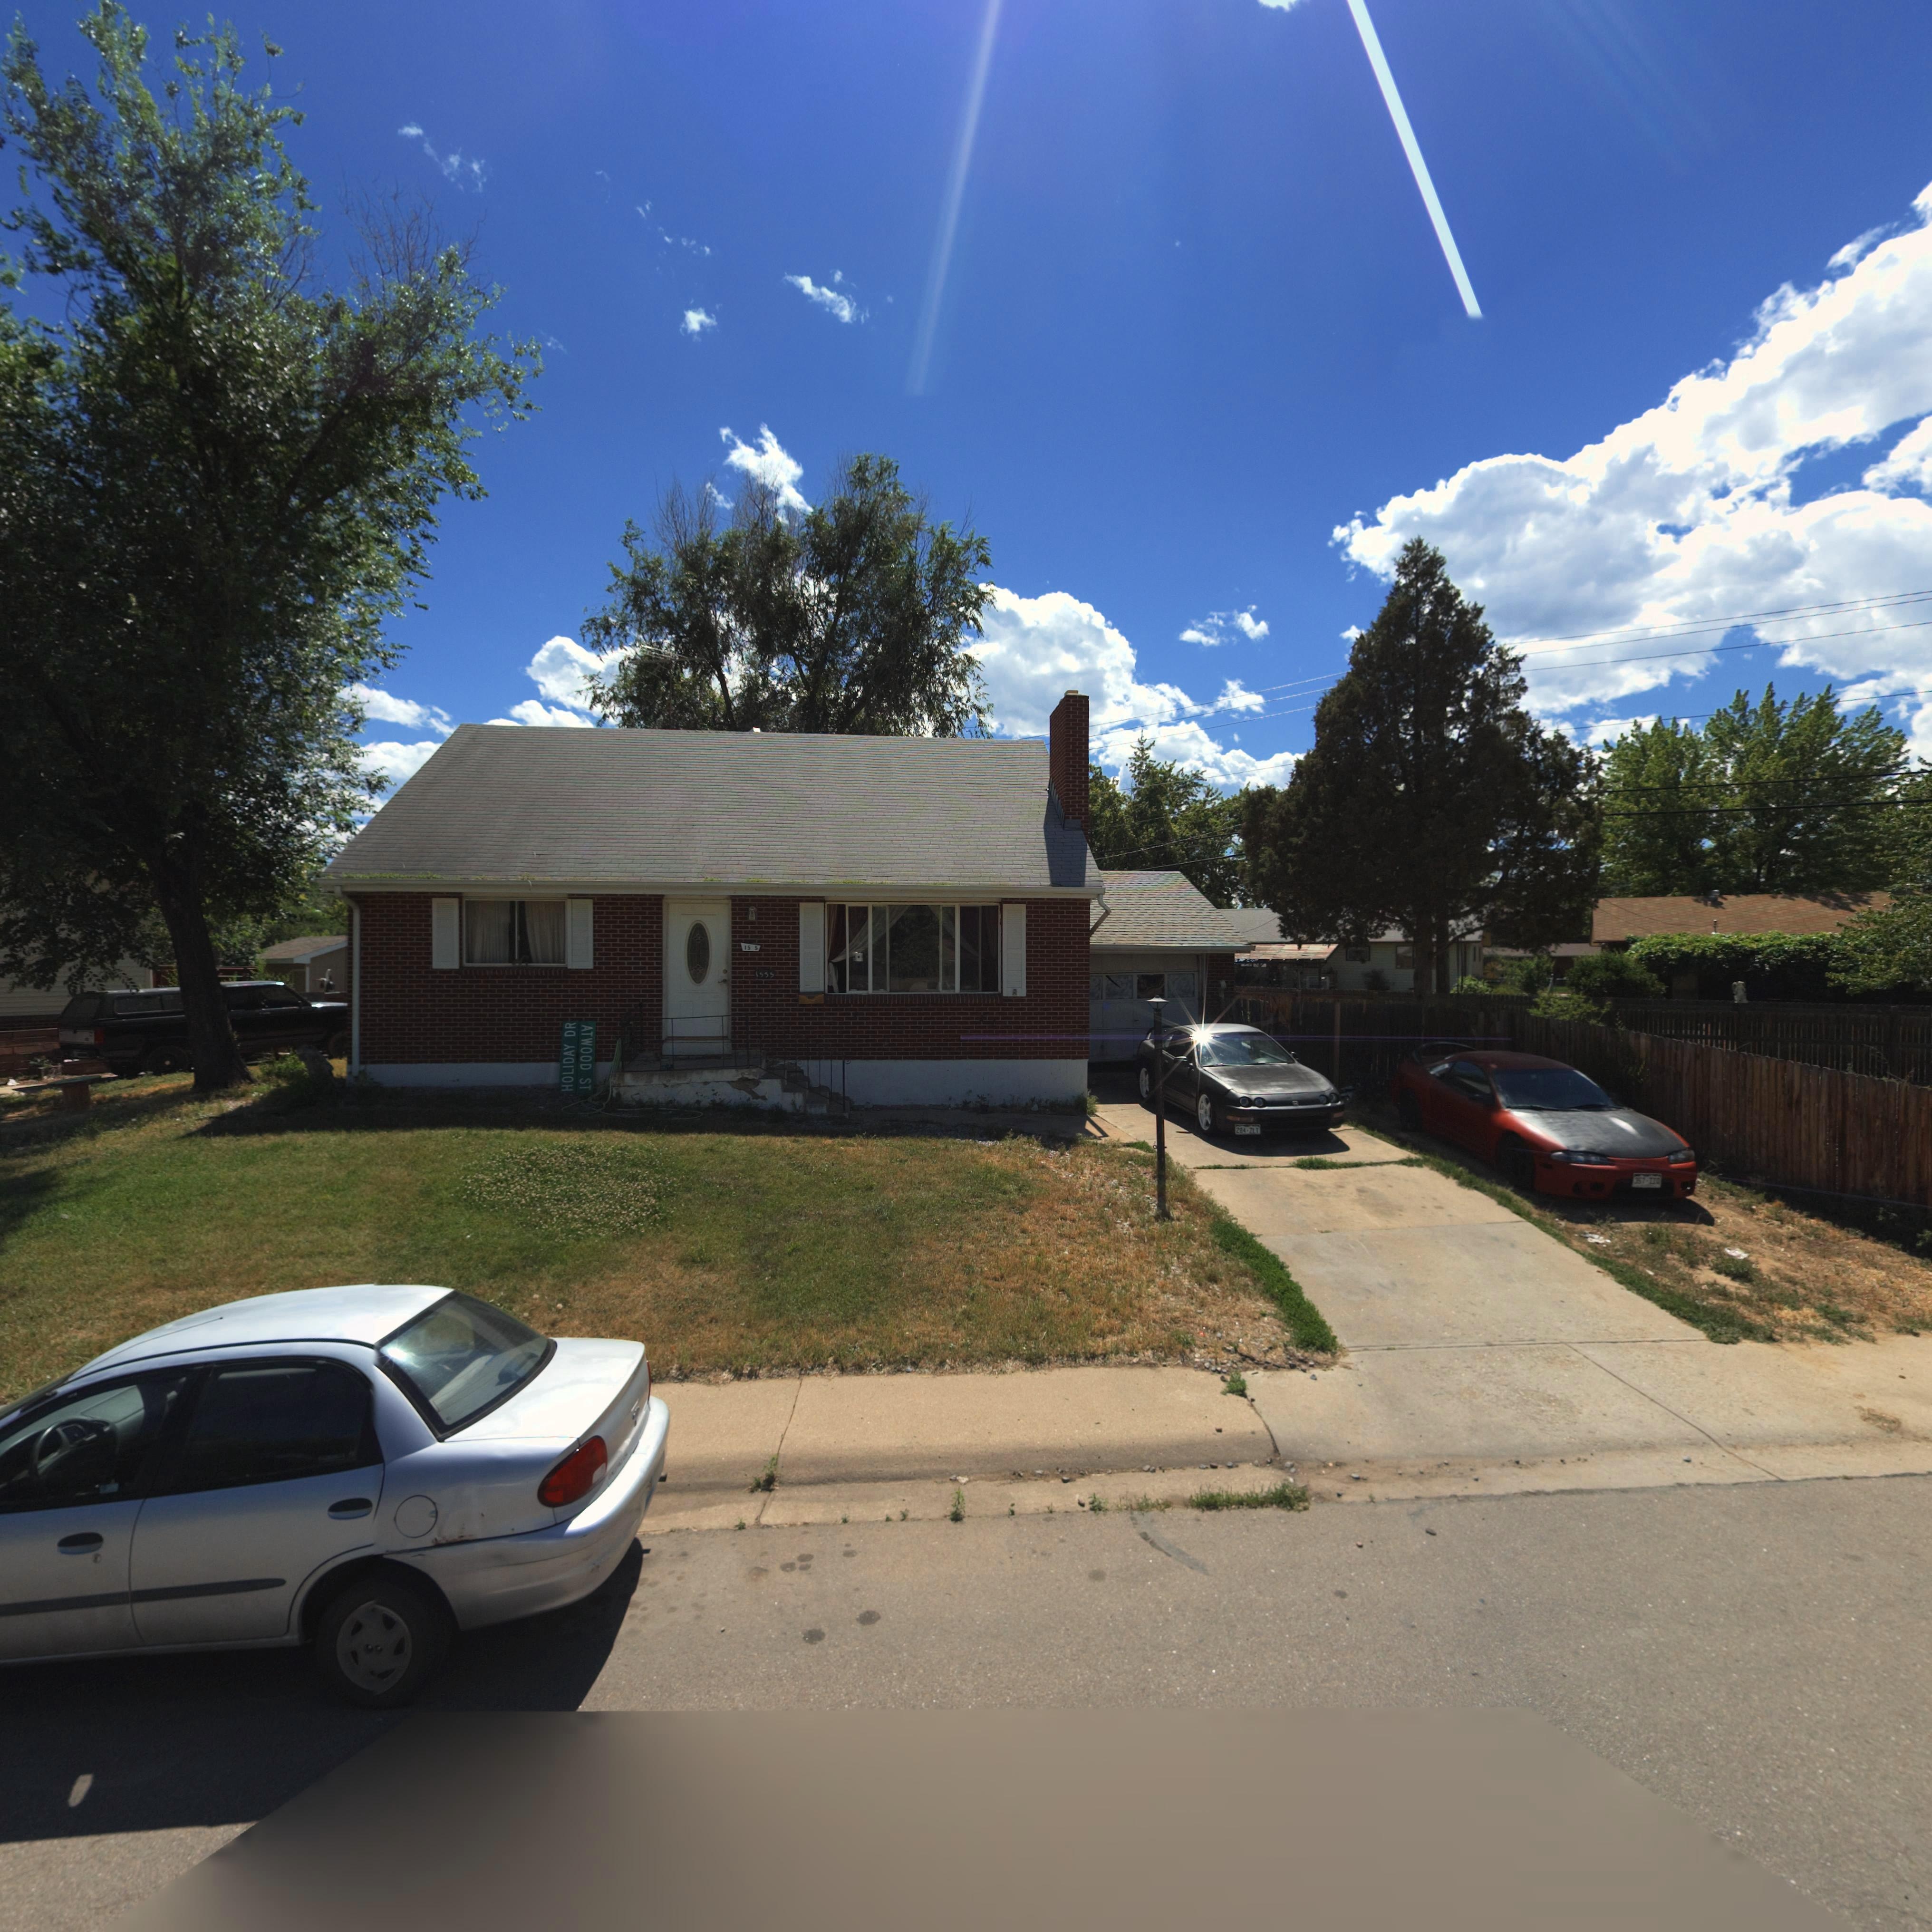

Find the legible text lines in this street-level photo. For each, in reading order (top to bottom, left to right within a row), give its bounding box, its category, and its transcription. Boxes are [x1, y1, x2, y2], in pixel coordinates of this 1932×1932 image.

[744, 945, 758, 950] StreetNumber: 15 5
[754, 971, 774, 979] StreetNumber: 1535